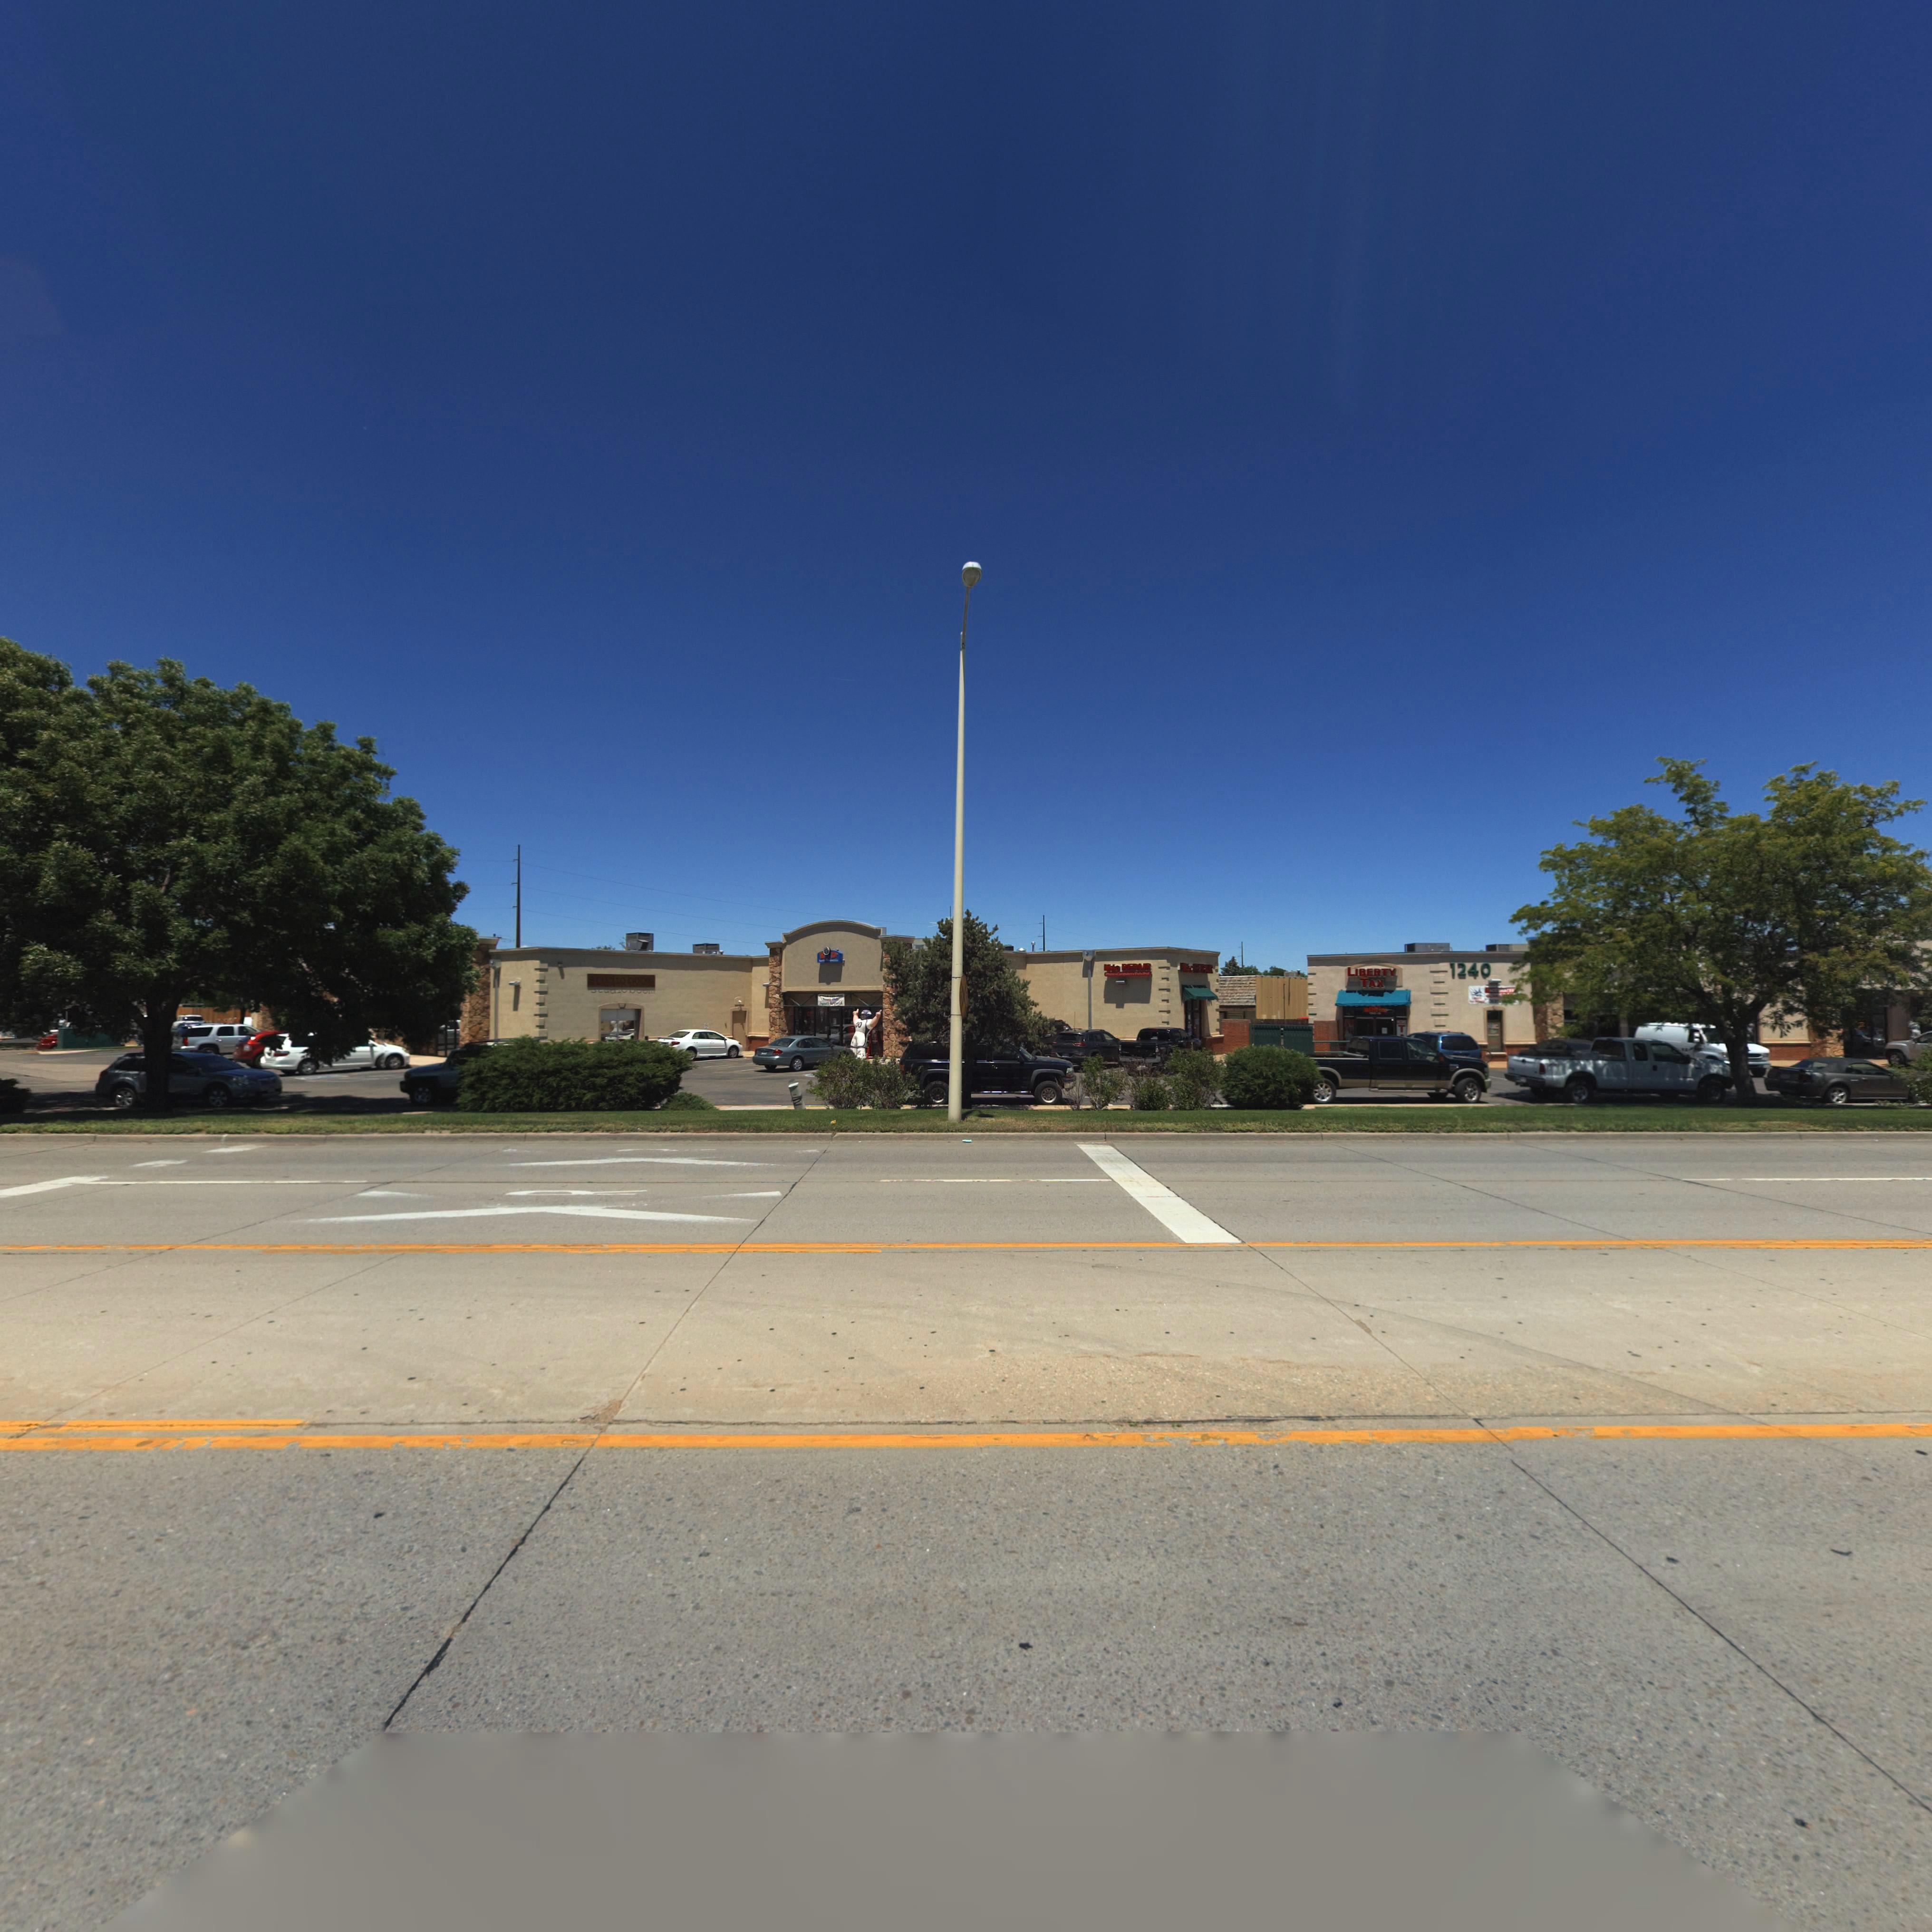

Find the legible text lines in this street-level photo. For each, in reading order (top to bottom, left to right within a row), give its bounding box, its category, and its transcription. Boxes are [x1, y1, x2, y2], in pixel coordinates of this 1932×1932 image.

[1103, 962, 1152, 971] BusinessName: *** REPAIR
[1346, 966, 1397, 977] BusinessName: LIBERTY
[1449, 961, 1492, 976] StreetNumber: 1240
[1359, 977, 1385, 988] BusinessName: TAX